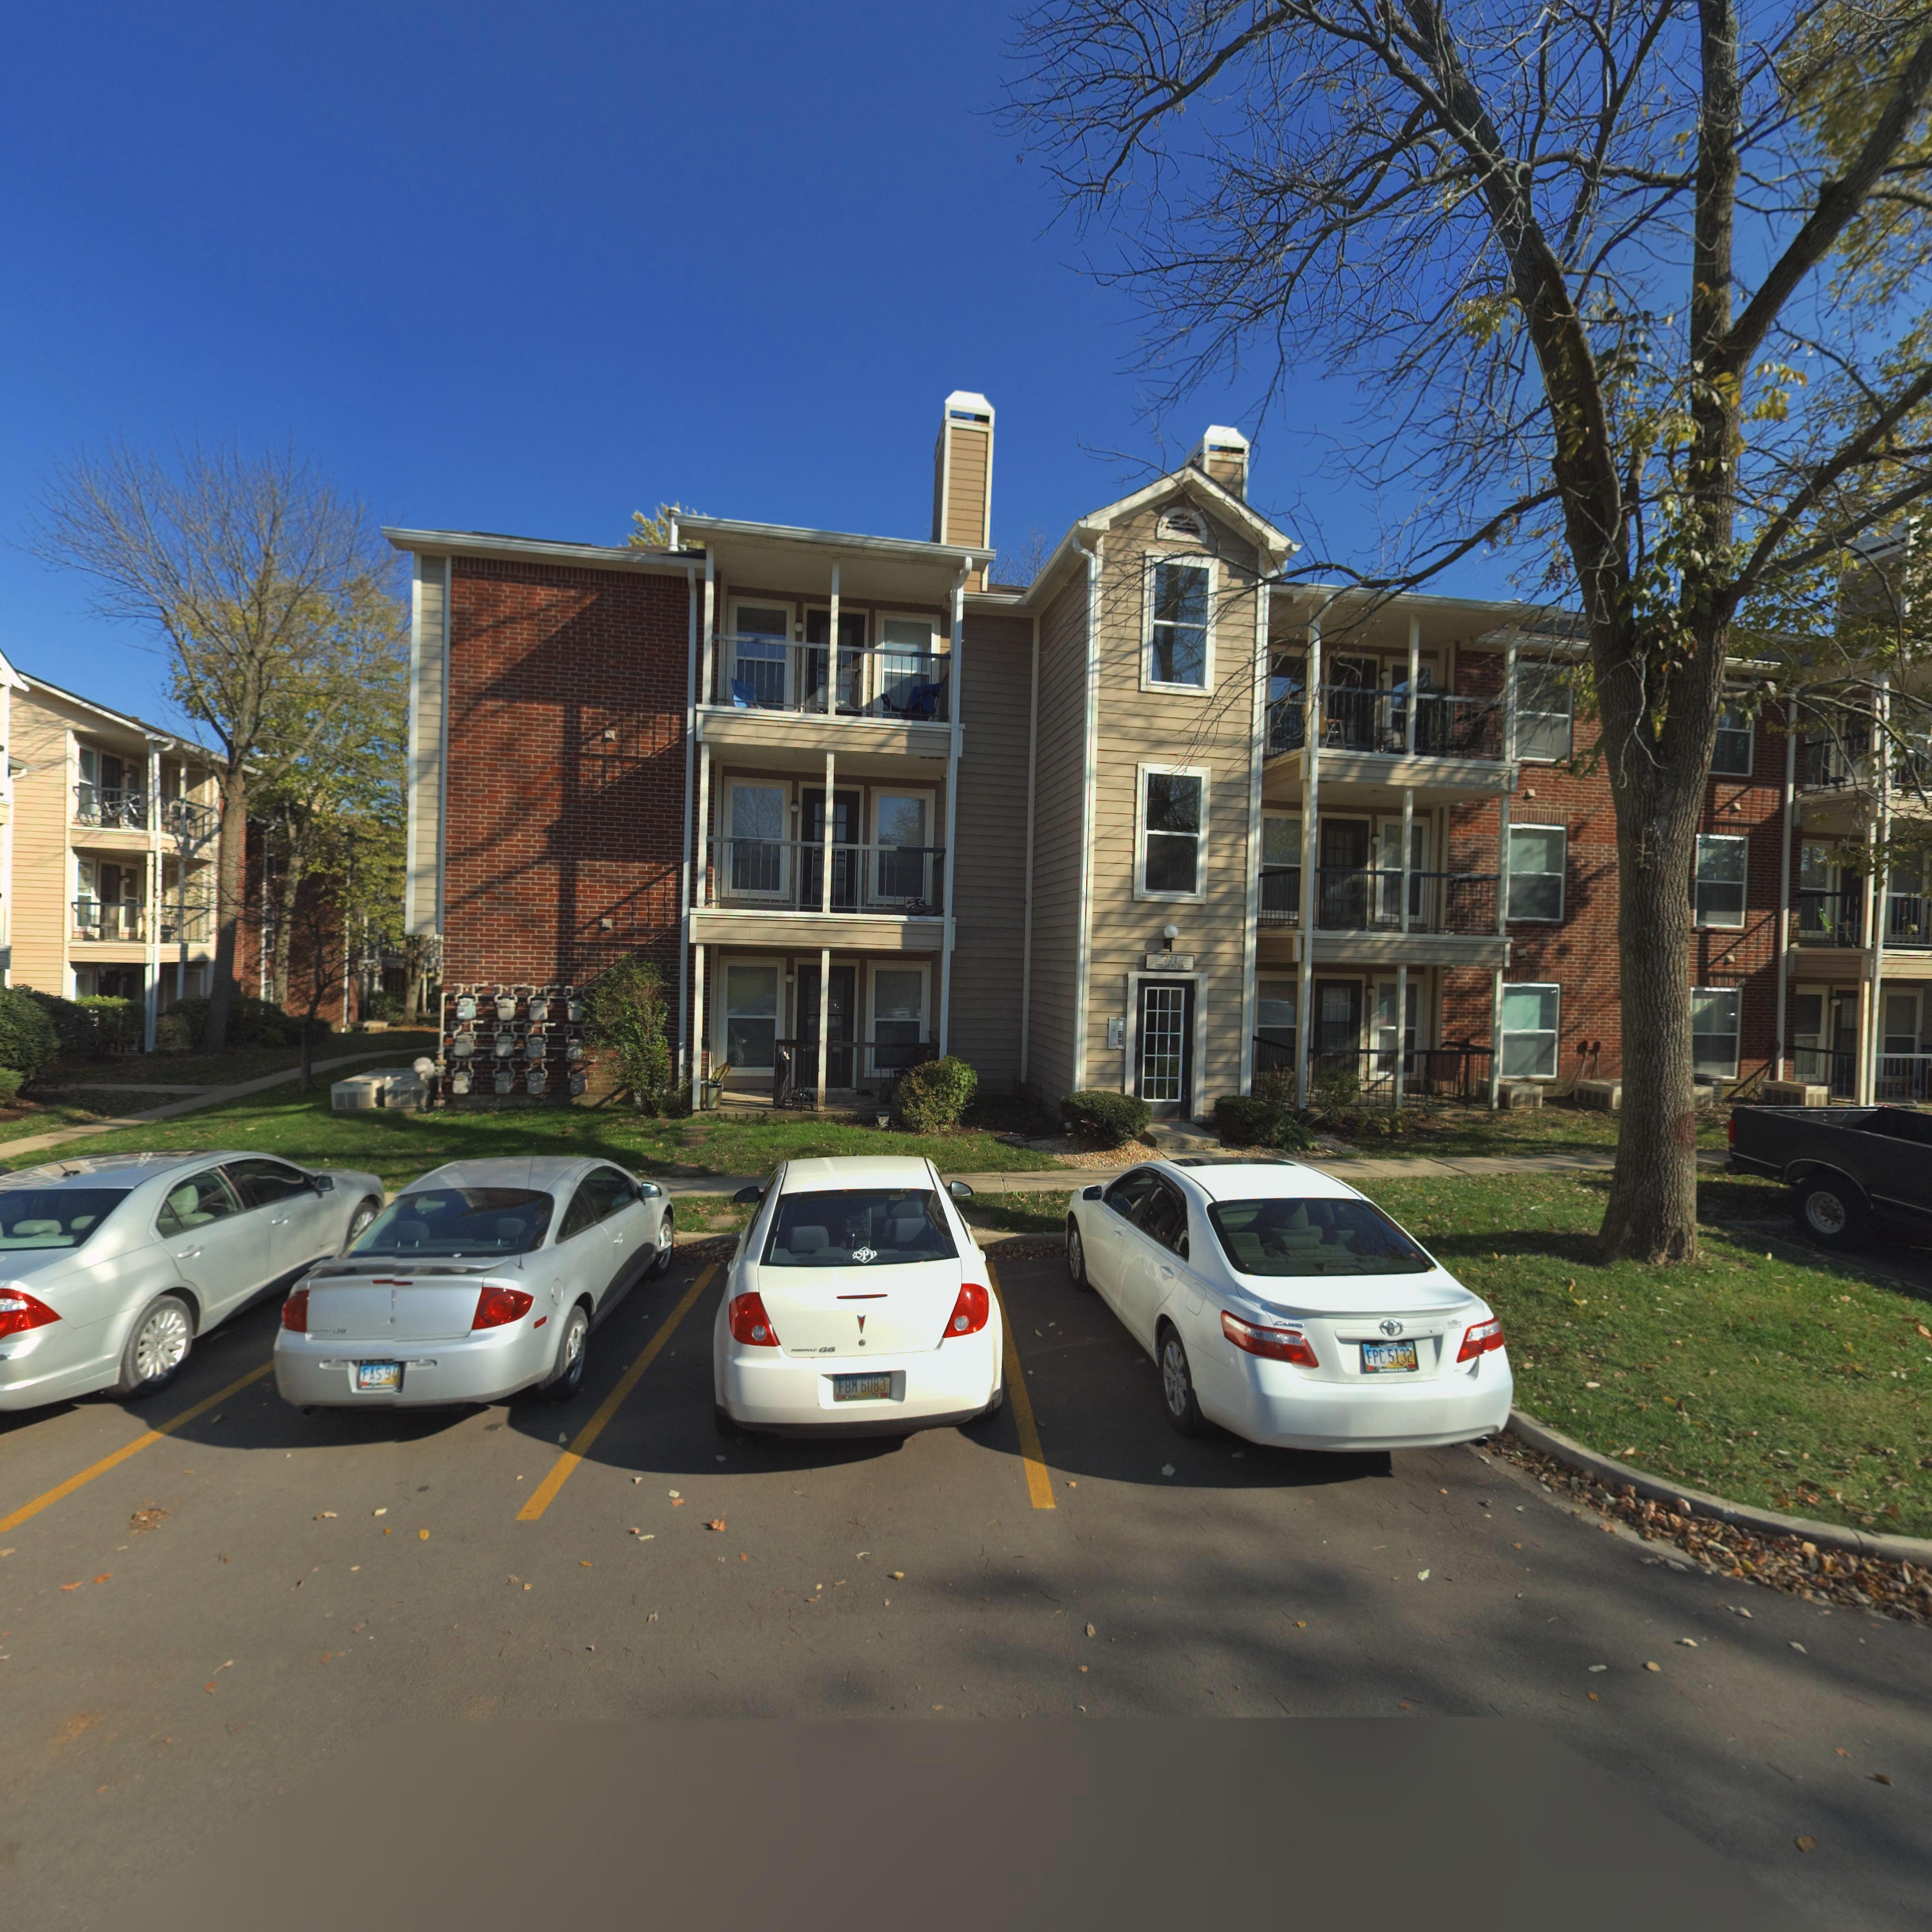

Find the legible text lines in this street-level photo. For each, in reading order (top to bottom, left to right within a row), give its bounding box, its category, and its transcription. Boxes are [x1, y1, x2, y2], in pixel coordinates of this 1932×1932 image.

[1163, 955, 1178, 964] StreetNumber: 771
[818, 1346, 837, 1353] None: G6
[1364, 1346, 1414, 1365] None: FPC 5132
[361, 1365, 392, 1382] None: FAS 9
[838, 1376, 887, 1395] None: FBM 6083